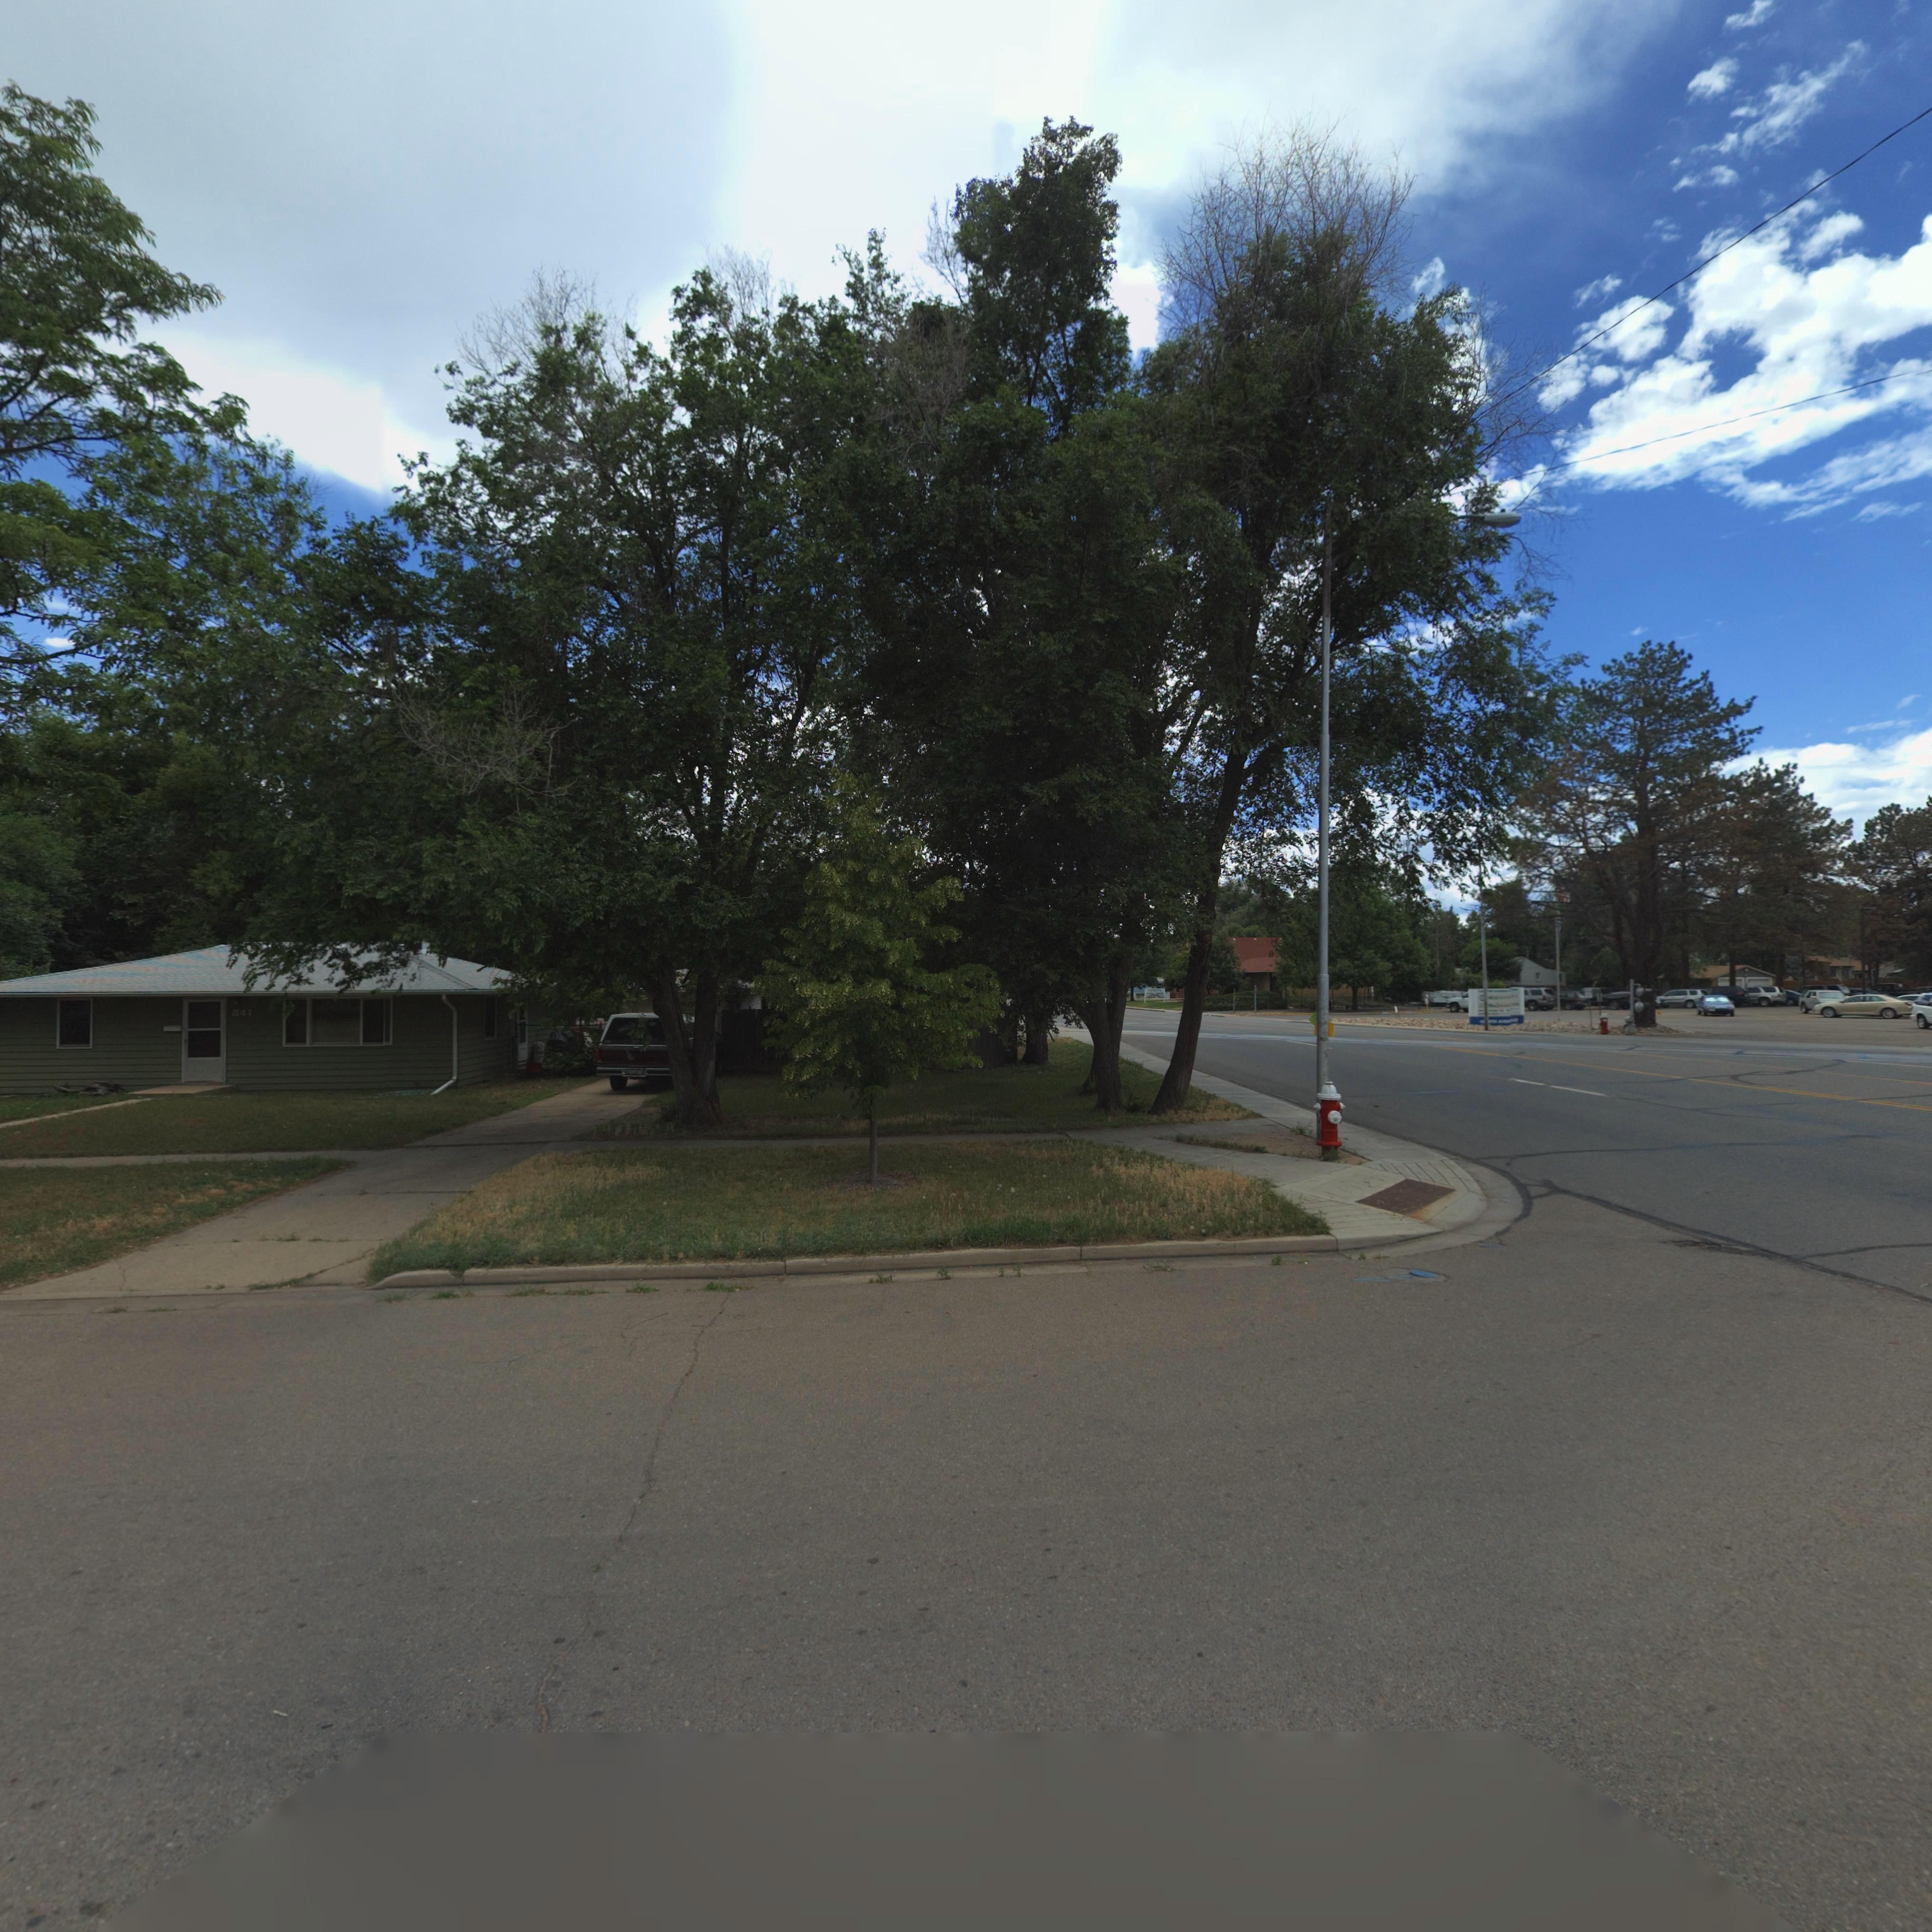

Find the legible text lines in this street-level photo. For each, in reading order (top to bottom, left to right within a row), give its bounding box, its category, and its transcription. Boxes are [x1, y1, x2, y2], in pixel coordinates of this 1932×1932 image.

[232, 1009, 252, 1016] StreetNumber: 841